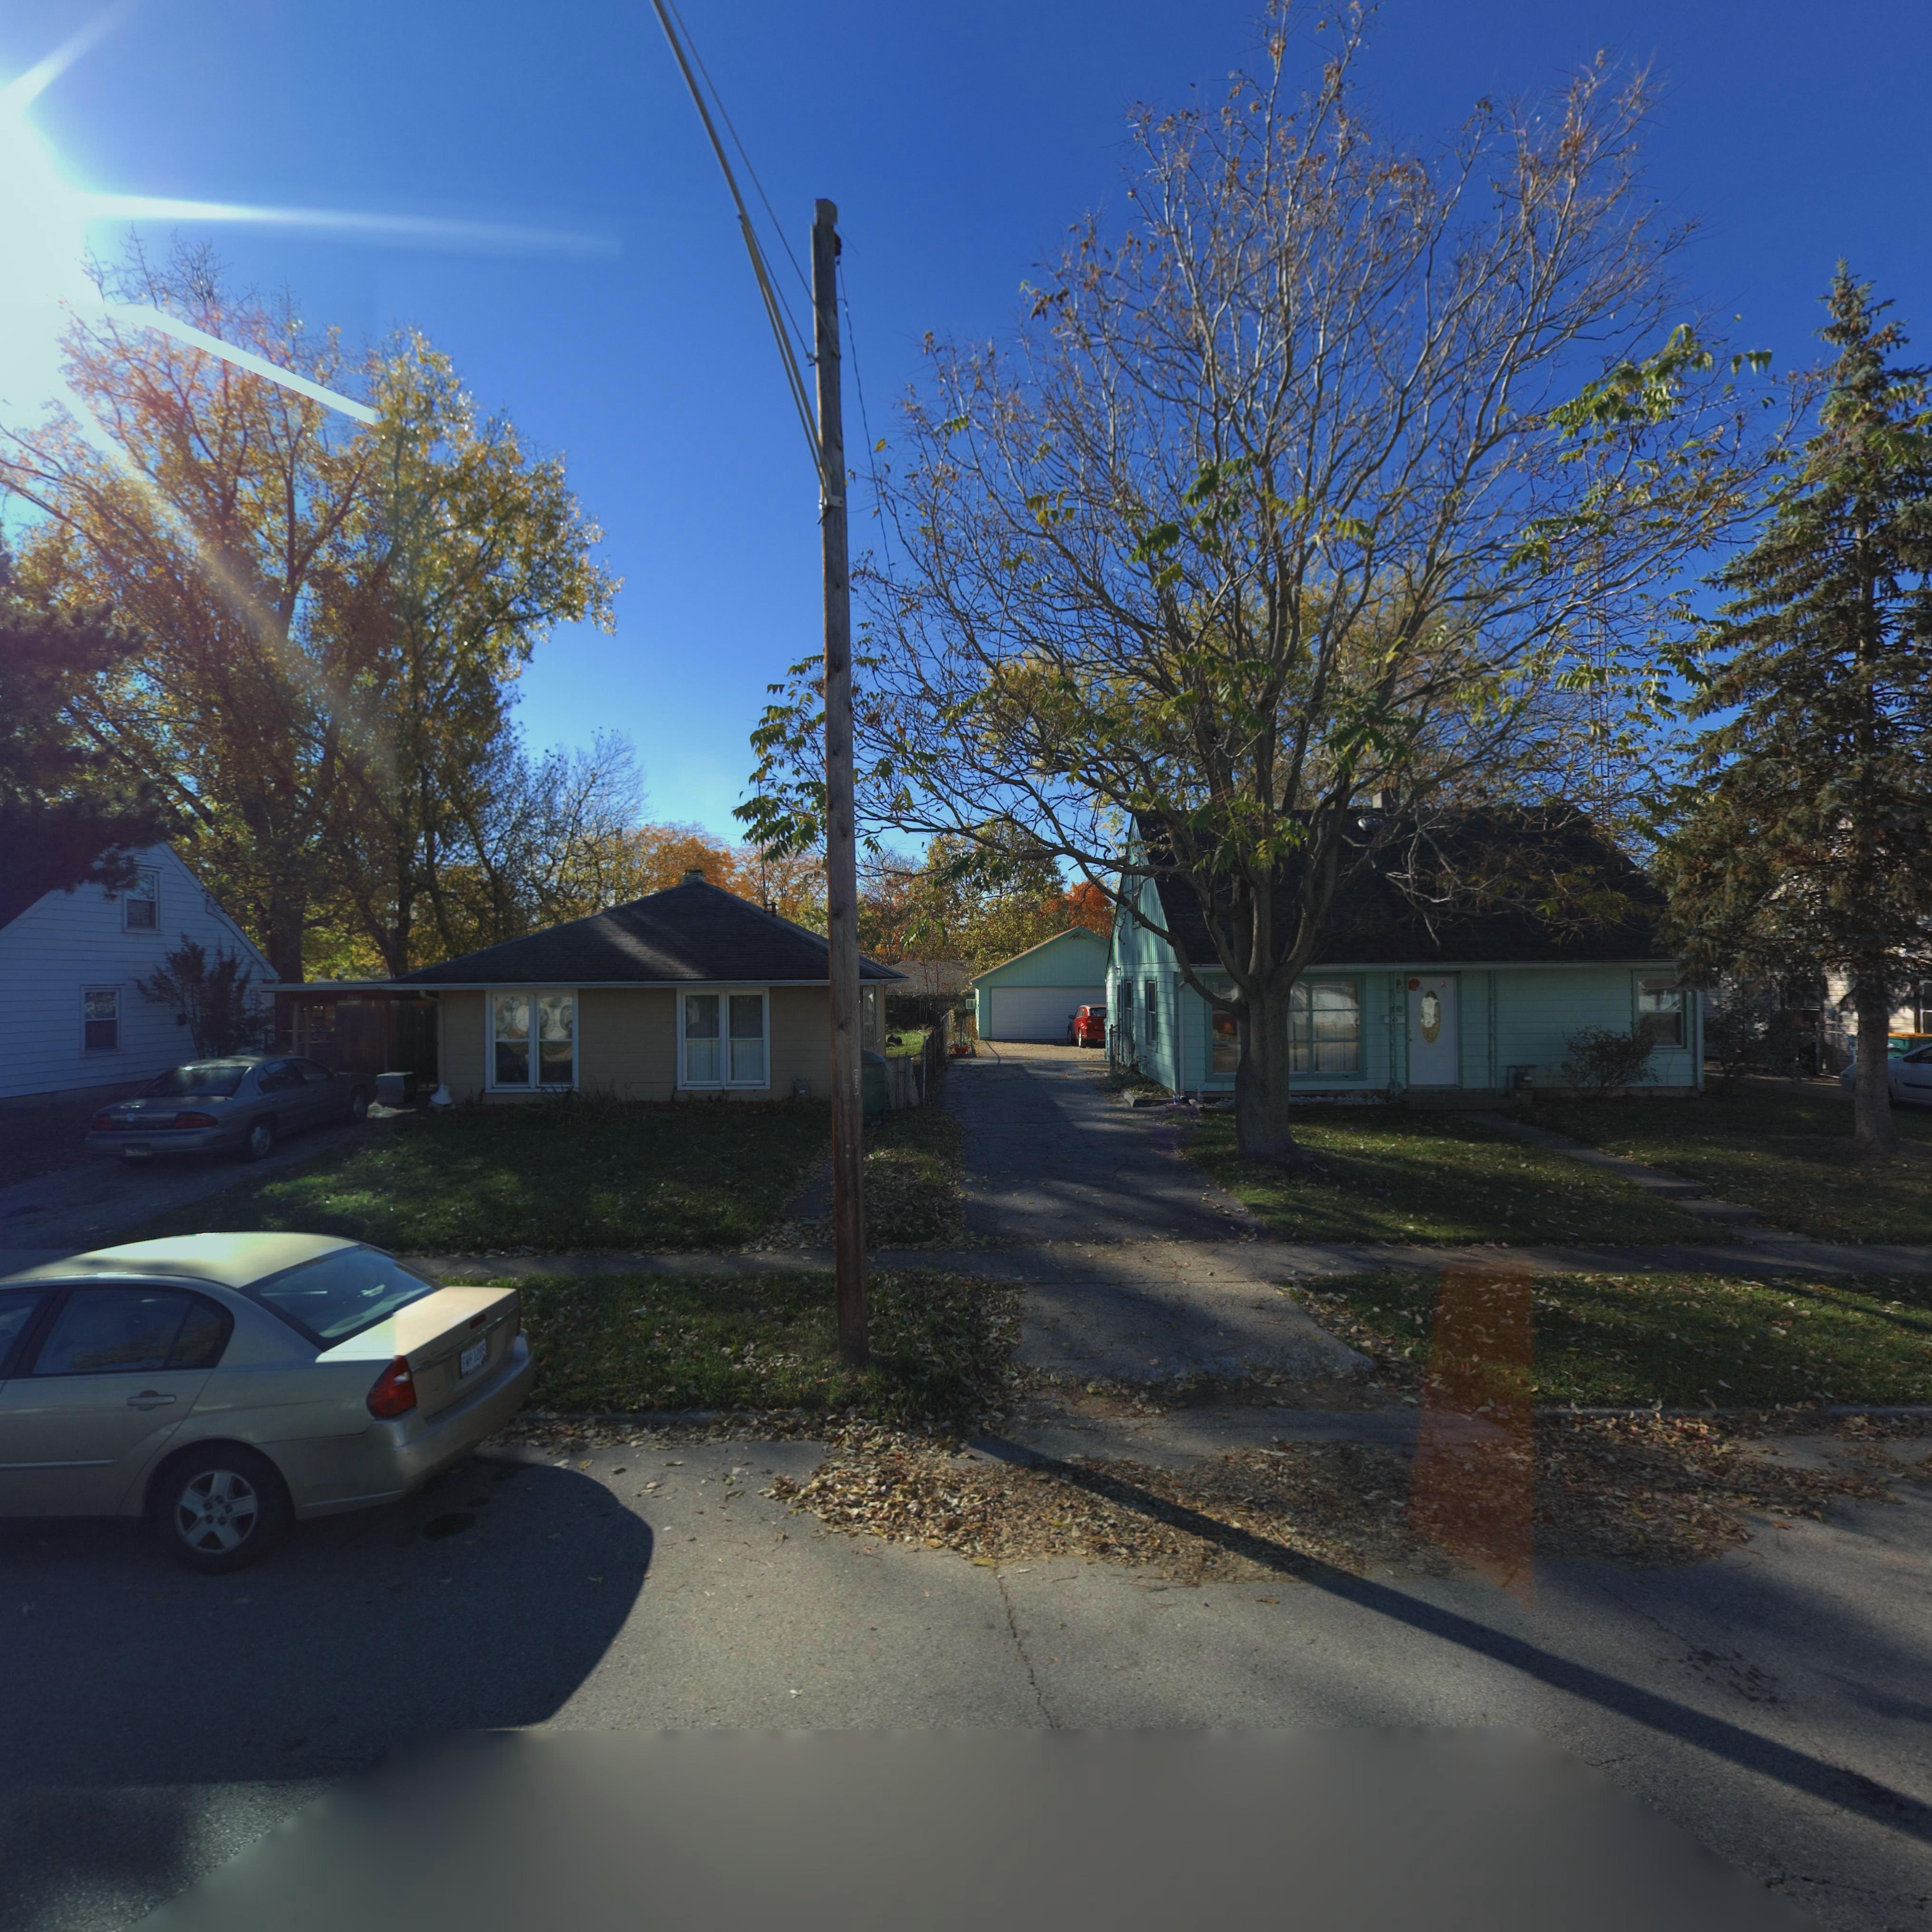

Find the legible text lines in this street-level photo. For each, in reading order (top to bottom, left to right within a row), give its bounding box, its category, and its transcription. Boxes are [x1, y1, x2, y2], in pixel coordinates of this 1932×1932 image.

[346, 994, 363, 1001] StreetNumber: 2***
[1396, 1006, 1403, 1012] StreetNumber: 3*